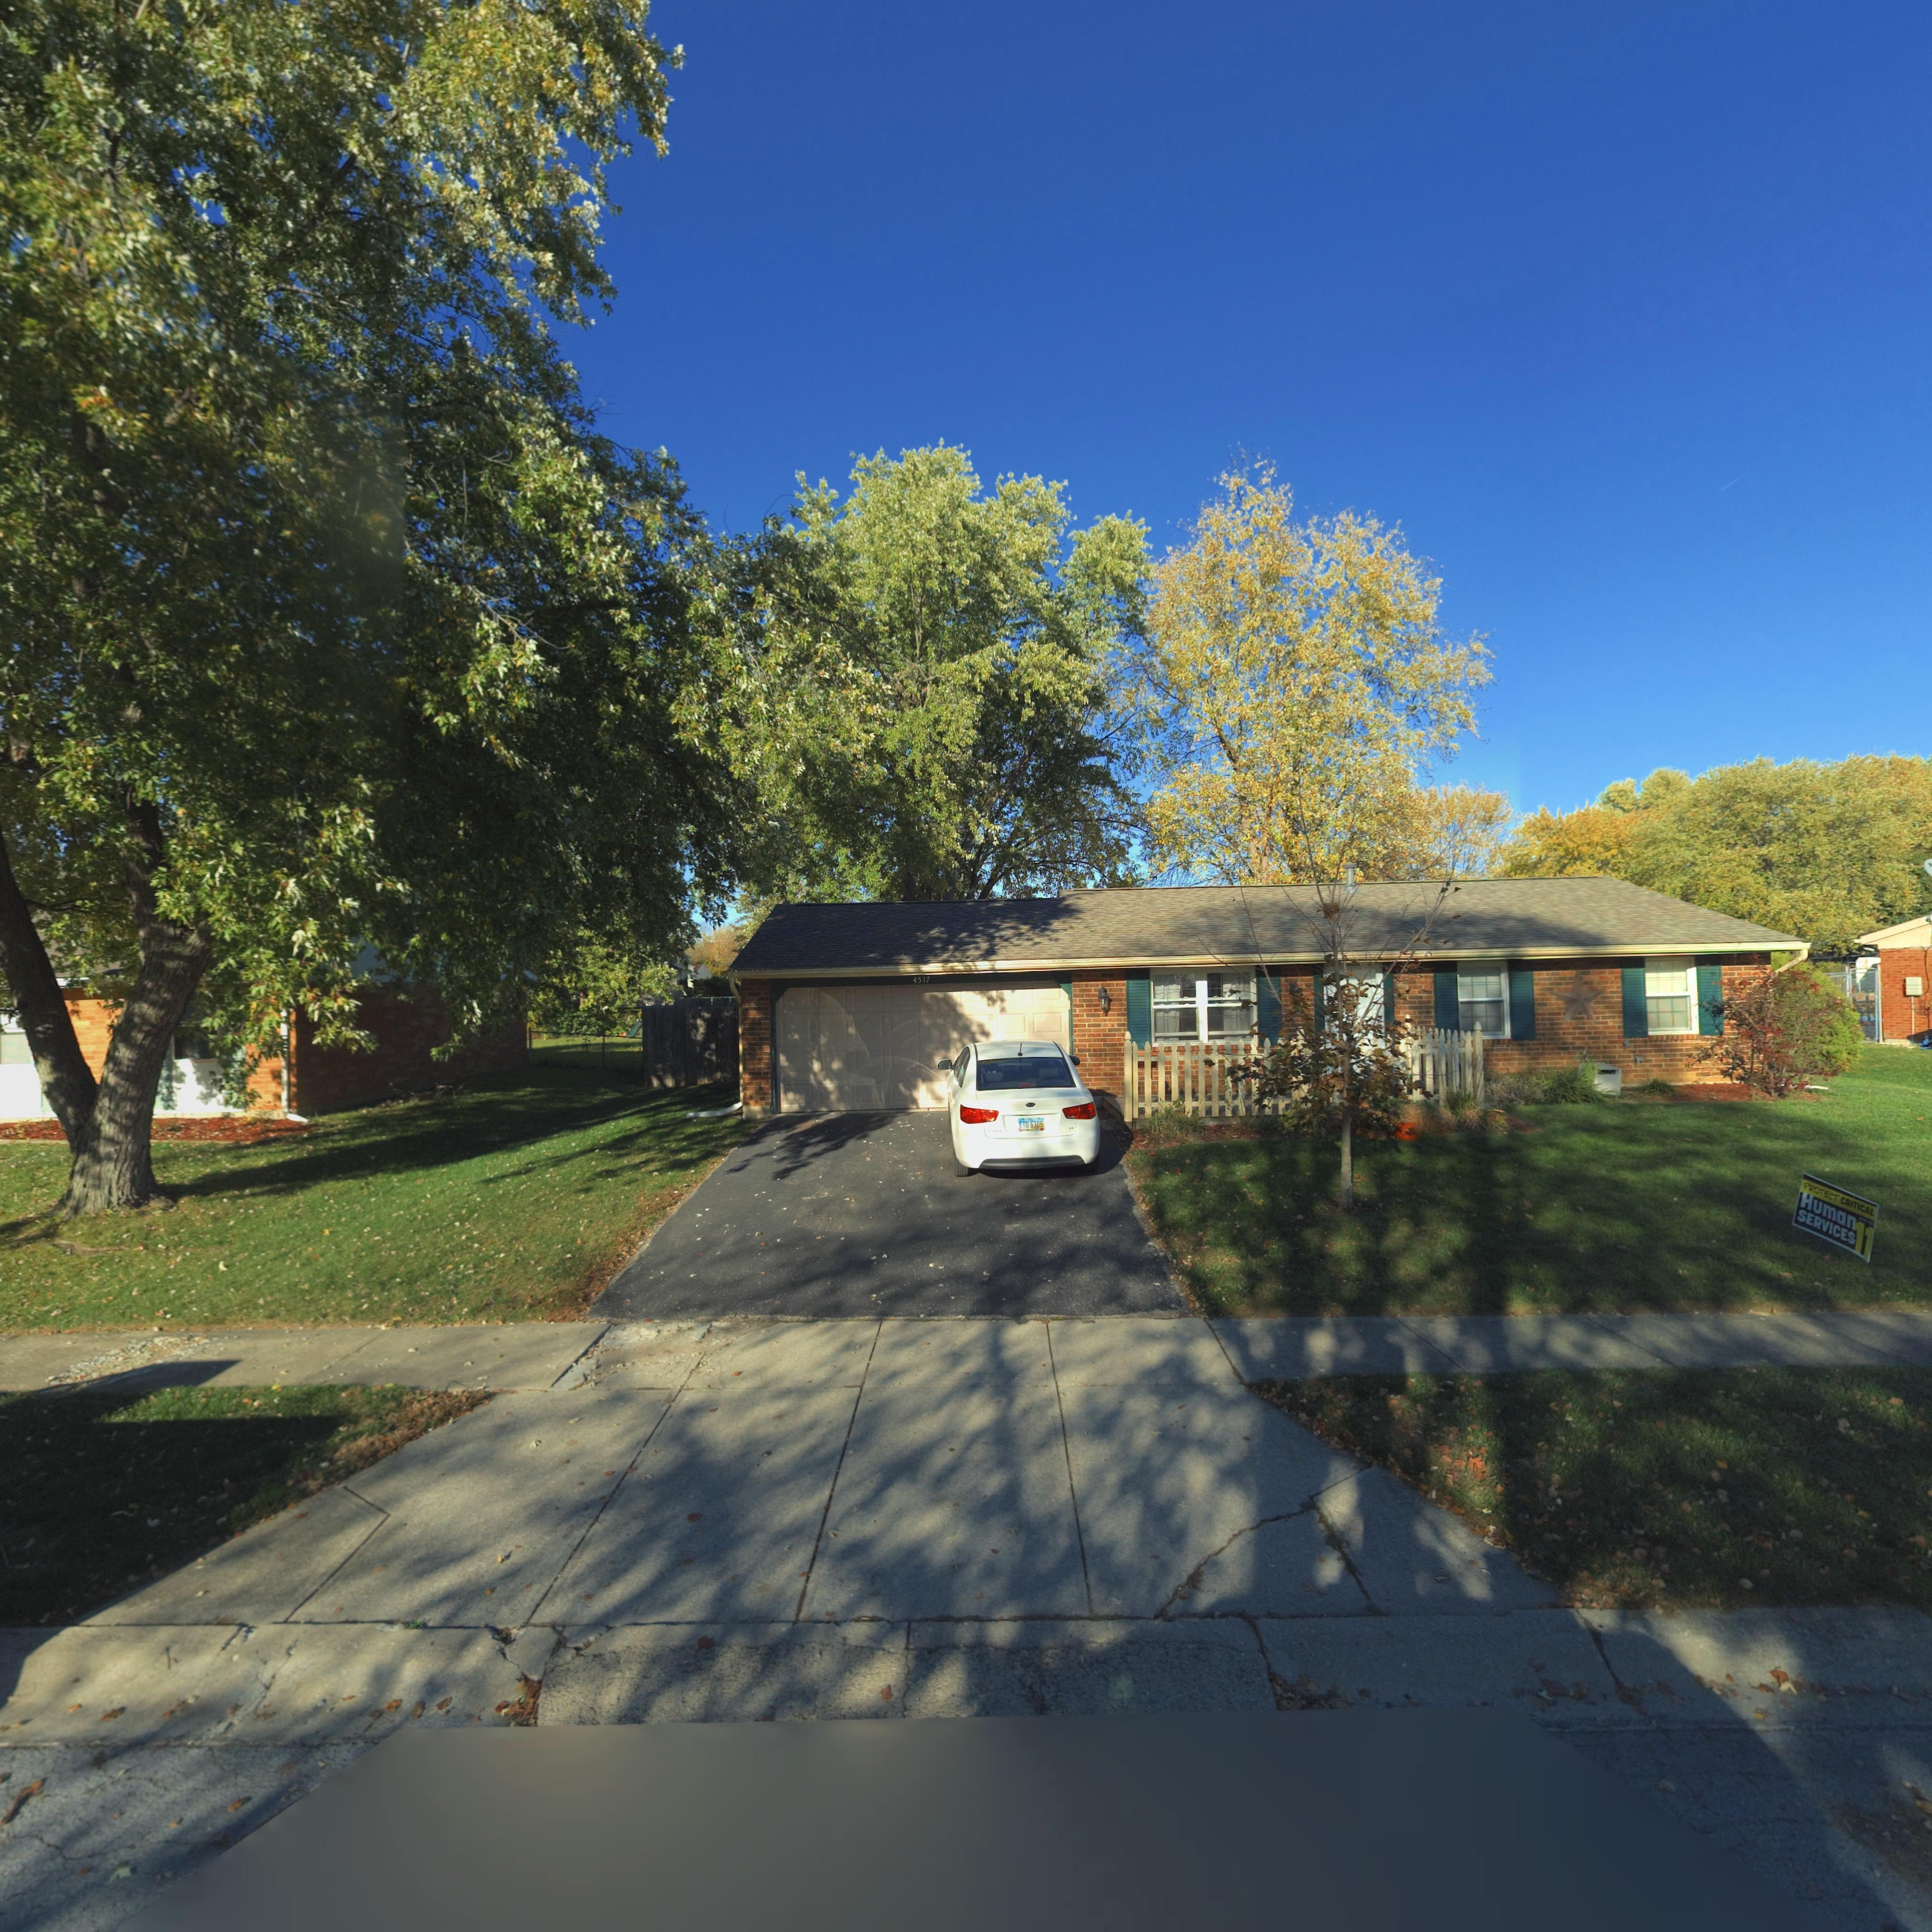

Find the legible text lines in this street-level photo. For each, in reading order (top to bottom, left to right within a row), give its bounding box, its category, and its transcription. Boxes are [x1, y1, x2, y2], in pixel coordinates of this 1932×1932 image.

[912, 976, 931, 984] StreetNumber: 4517